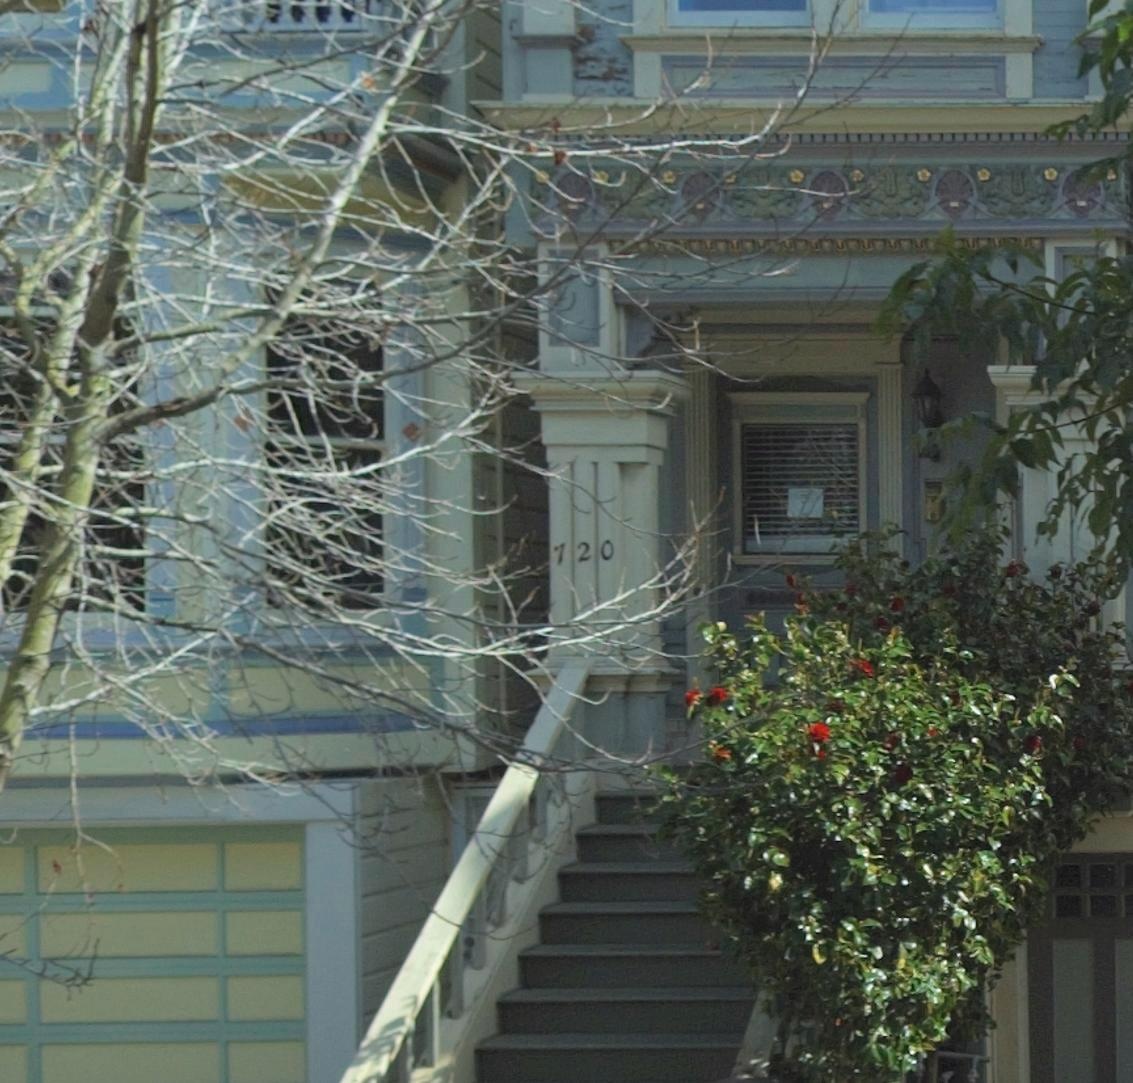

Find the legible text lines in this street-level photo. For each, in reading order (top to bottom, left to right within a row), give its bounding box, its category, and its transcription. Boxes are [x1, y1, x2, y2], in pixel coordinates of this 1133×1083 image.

[549, 536, 618, 569] StreetNumber: 720